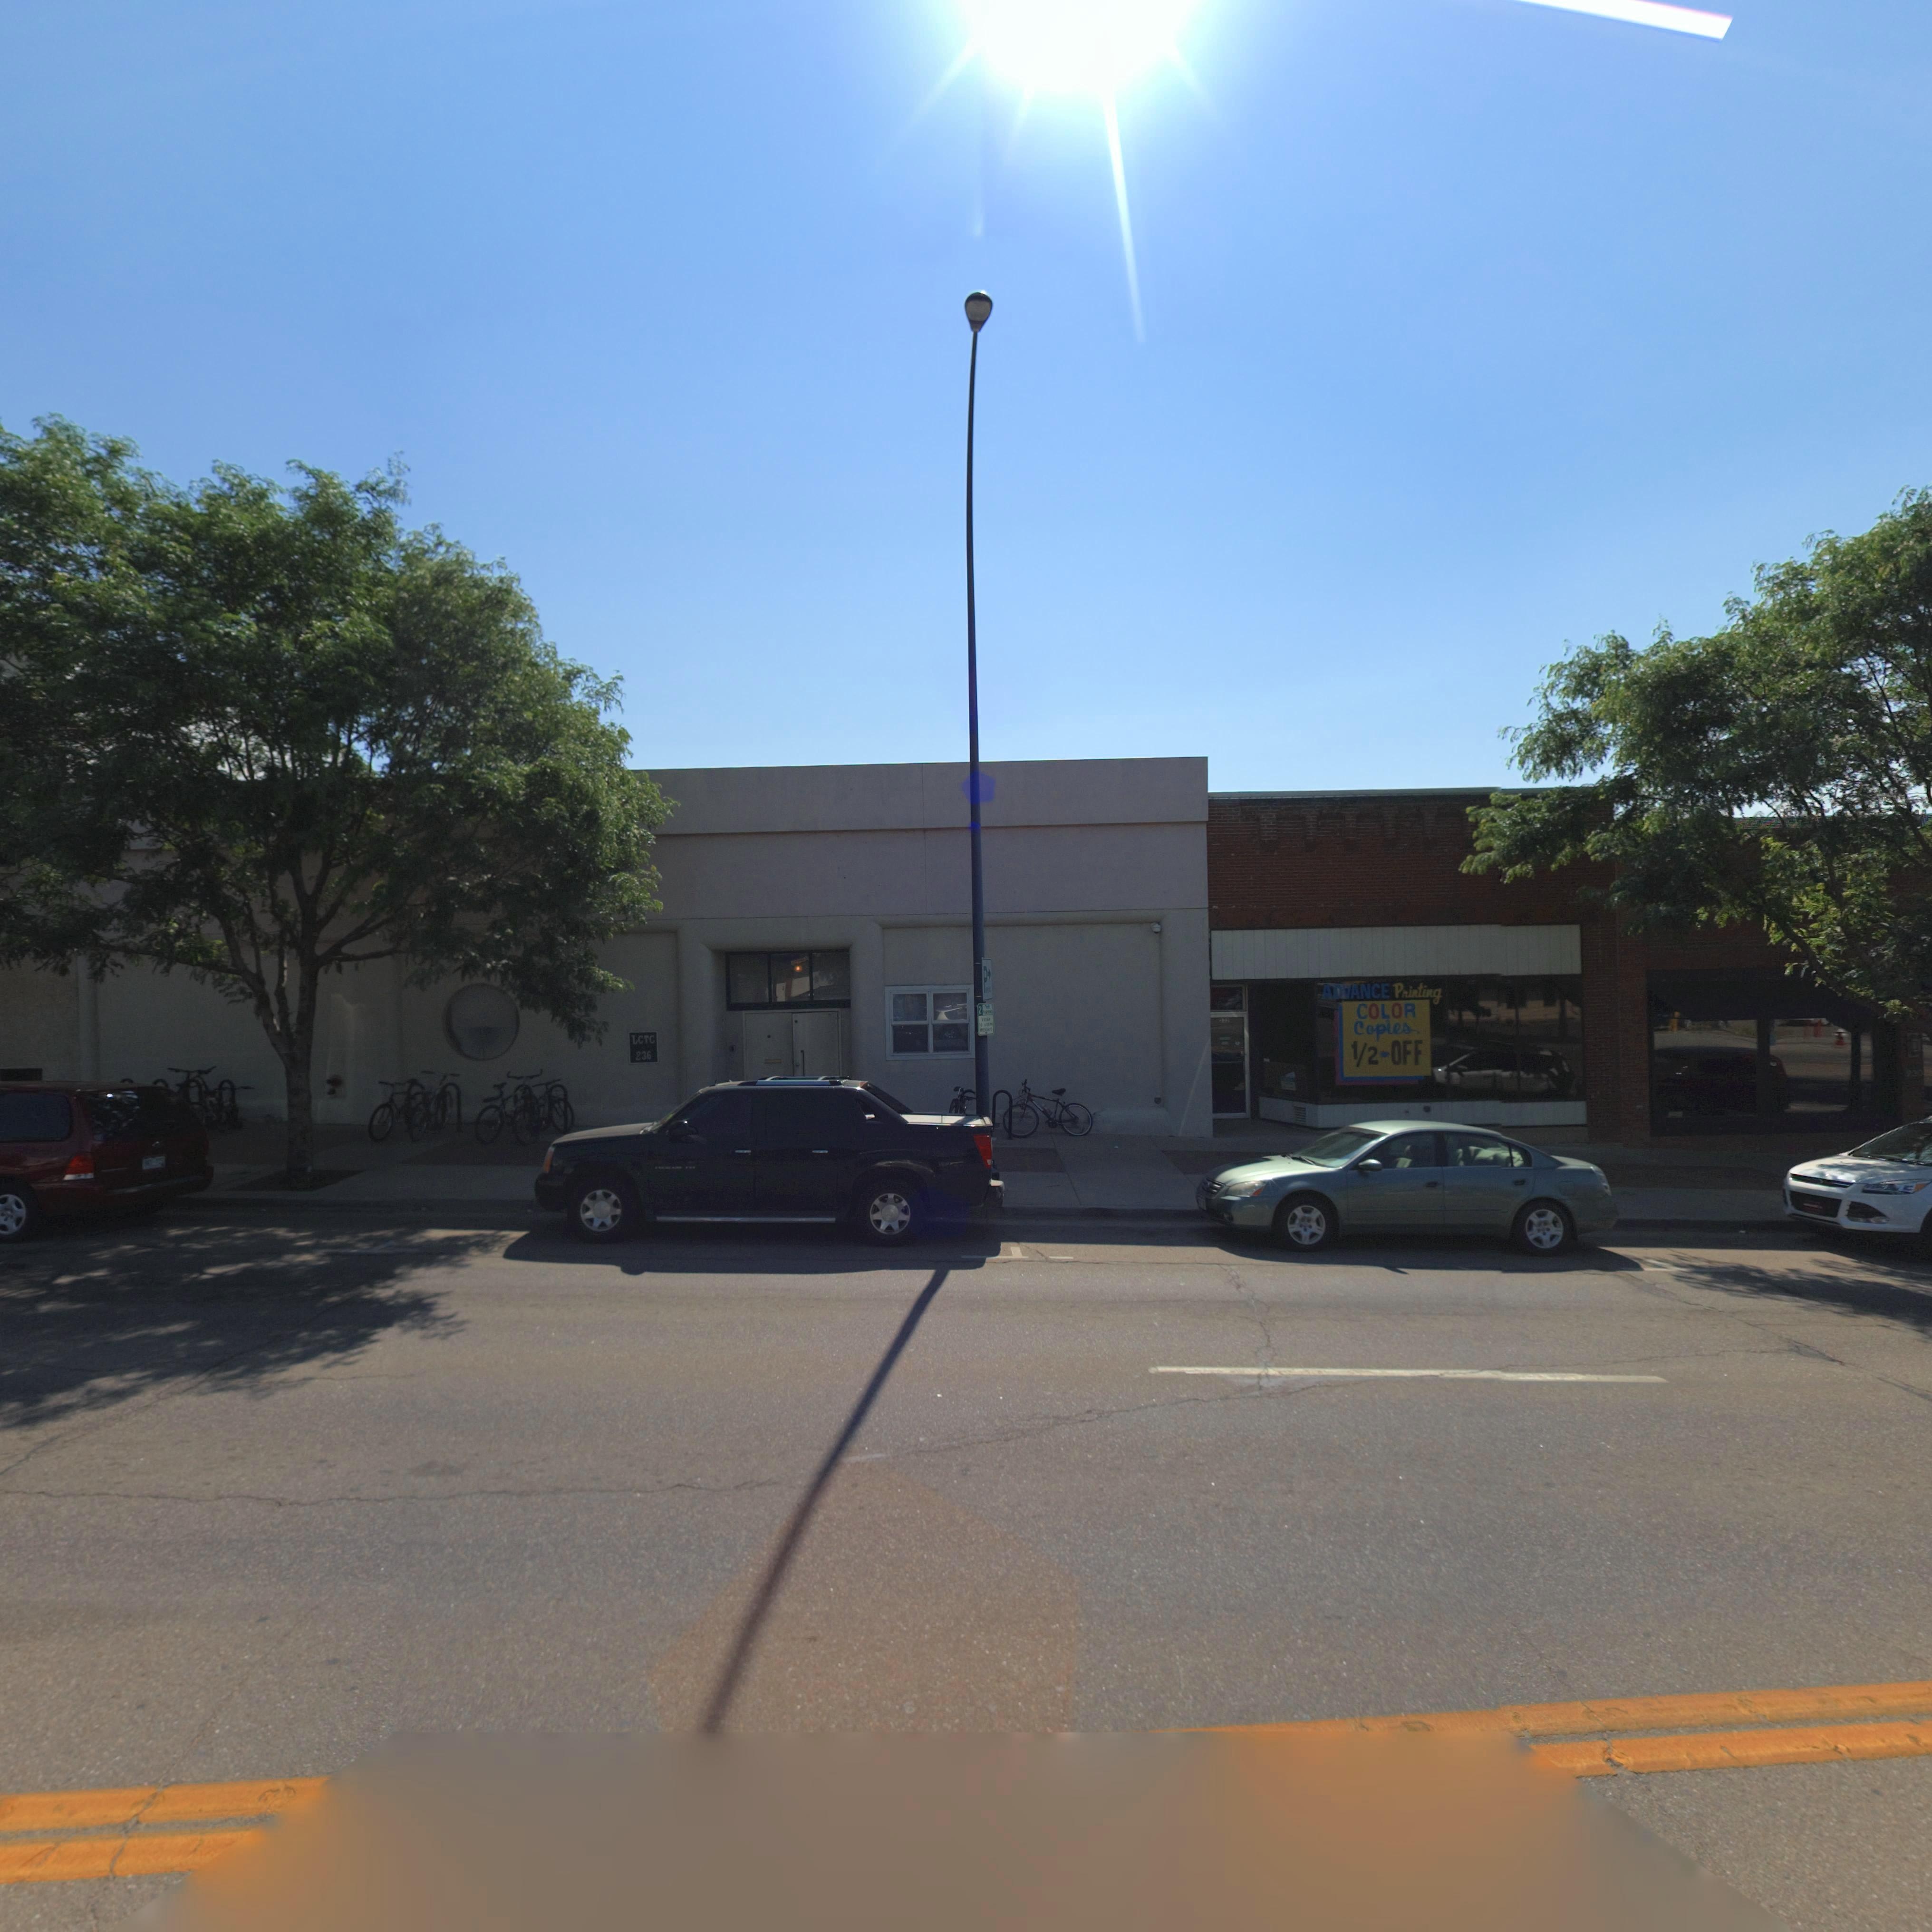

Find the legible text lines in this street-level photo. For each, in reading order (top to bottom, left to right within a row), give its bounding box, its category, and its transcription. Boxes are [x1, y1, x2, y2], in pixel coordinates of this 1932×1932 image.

[1320, 982, 1443, 1006] StreetNumber: ADVANCE Printing
[635, 1050, 651, 1061] StreetNumber: 236